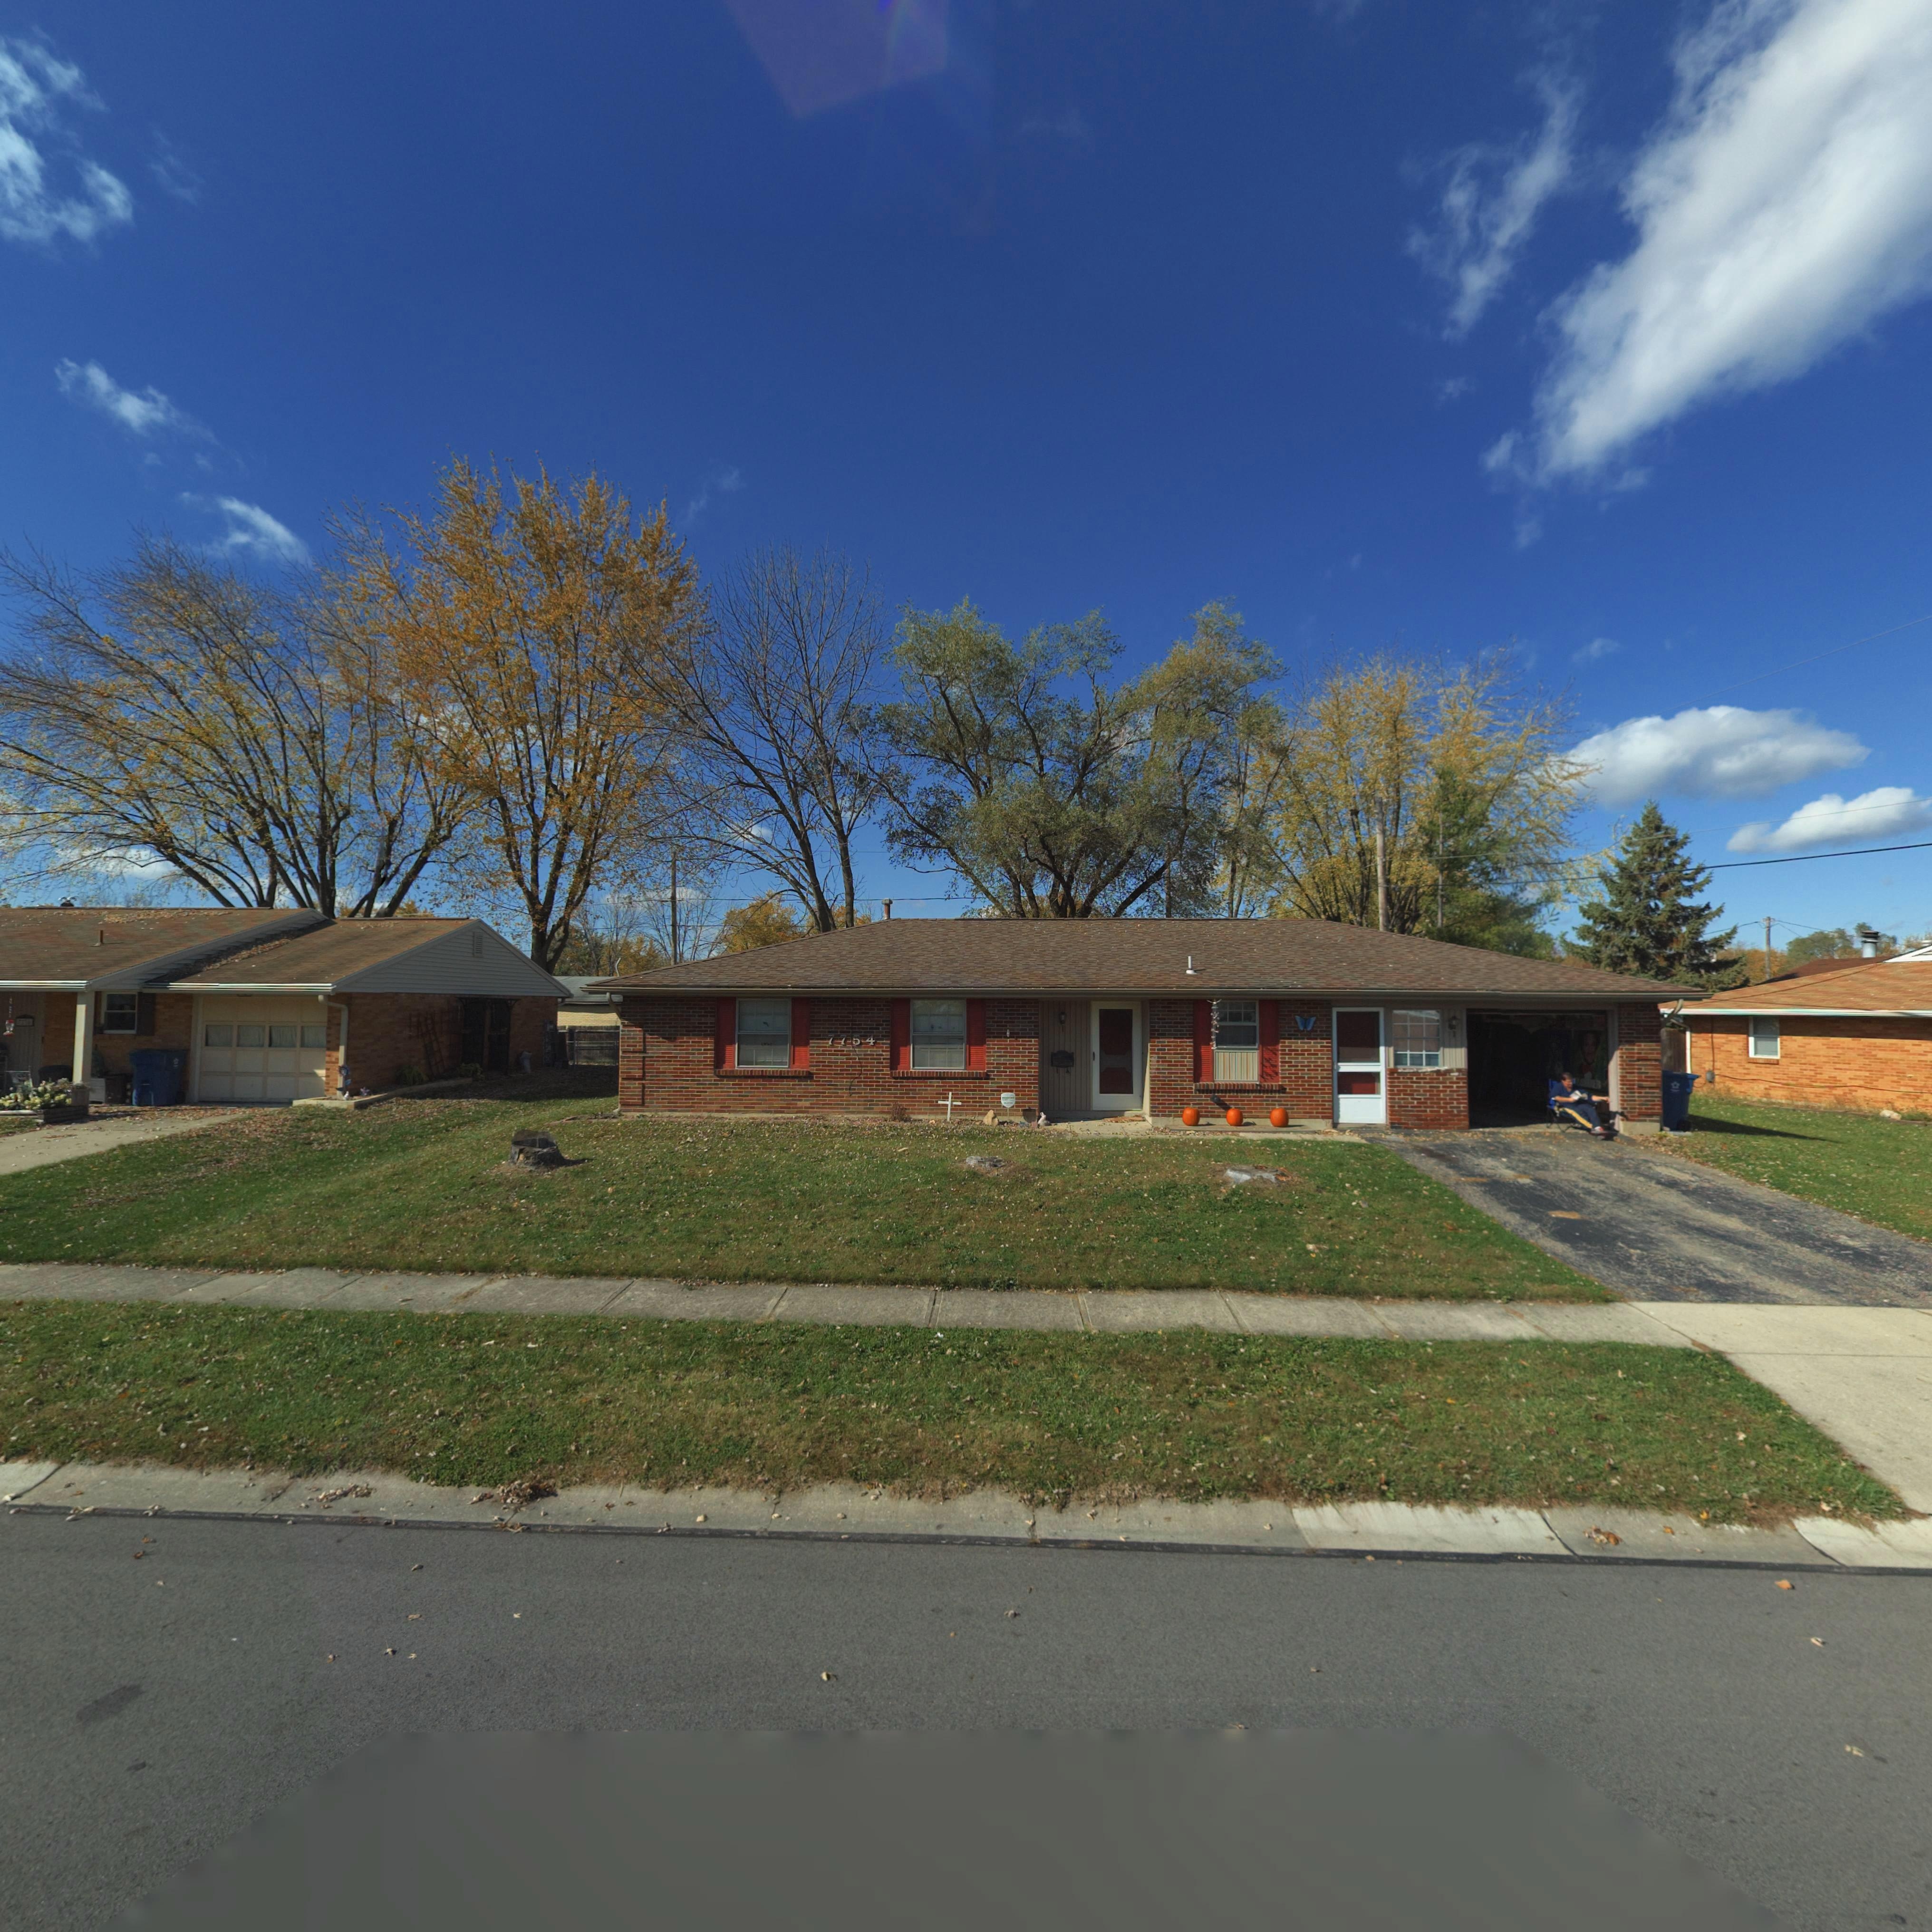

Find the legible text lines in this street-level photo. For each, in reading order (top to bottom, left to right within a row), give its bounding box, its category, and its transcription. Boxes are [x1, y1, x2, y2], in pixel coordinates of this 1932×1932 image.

[827, 1033, 877, 1047] StreetNumber: 7754